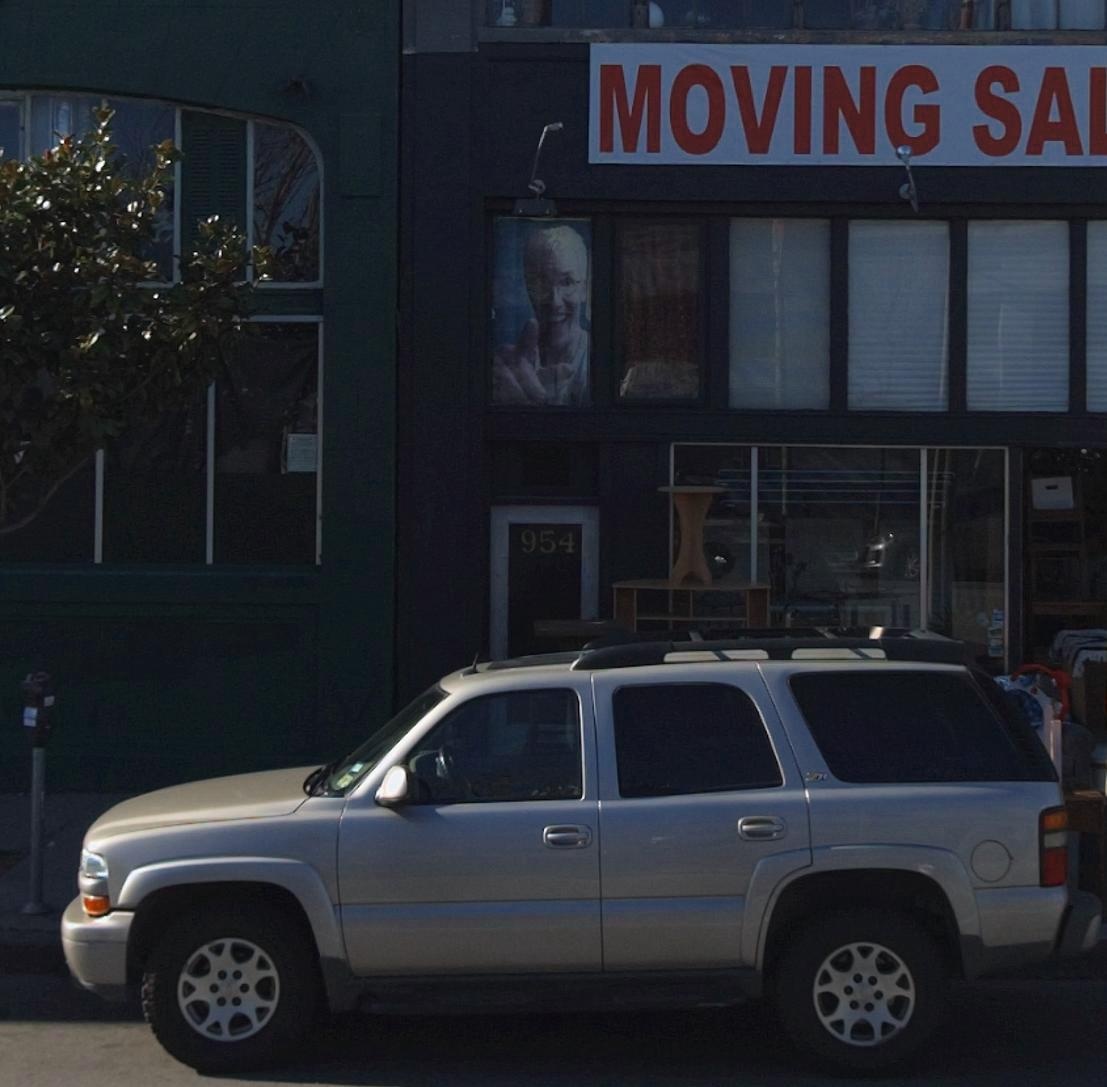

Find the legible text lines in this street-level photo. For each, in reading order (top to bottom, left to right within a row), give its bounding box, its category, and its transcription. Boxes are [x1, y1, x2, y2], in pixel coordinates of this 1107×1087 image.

[597, 61, 1086, 156] None: MOVING SA
[520, 528, 576, 555] StreetNumber: 954